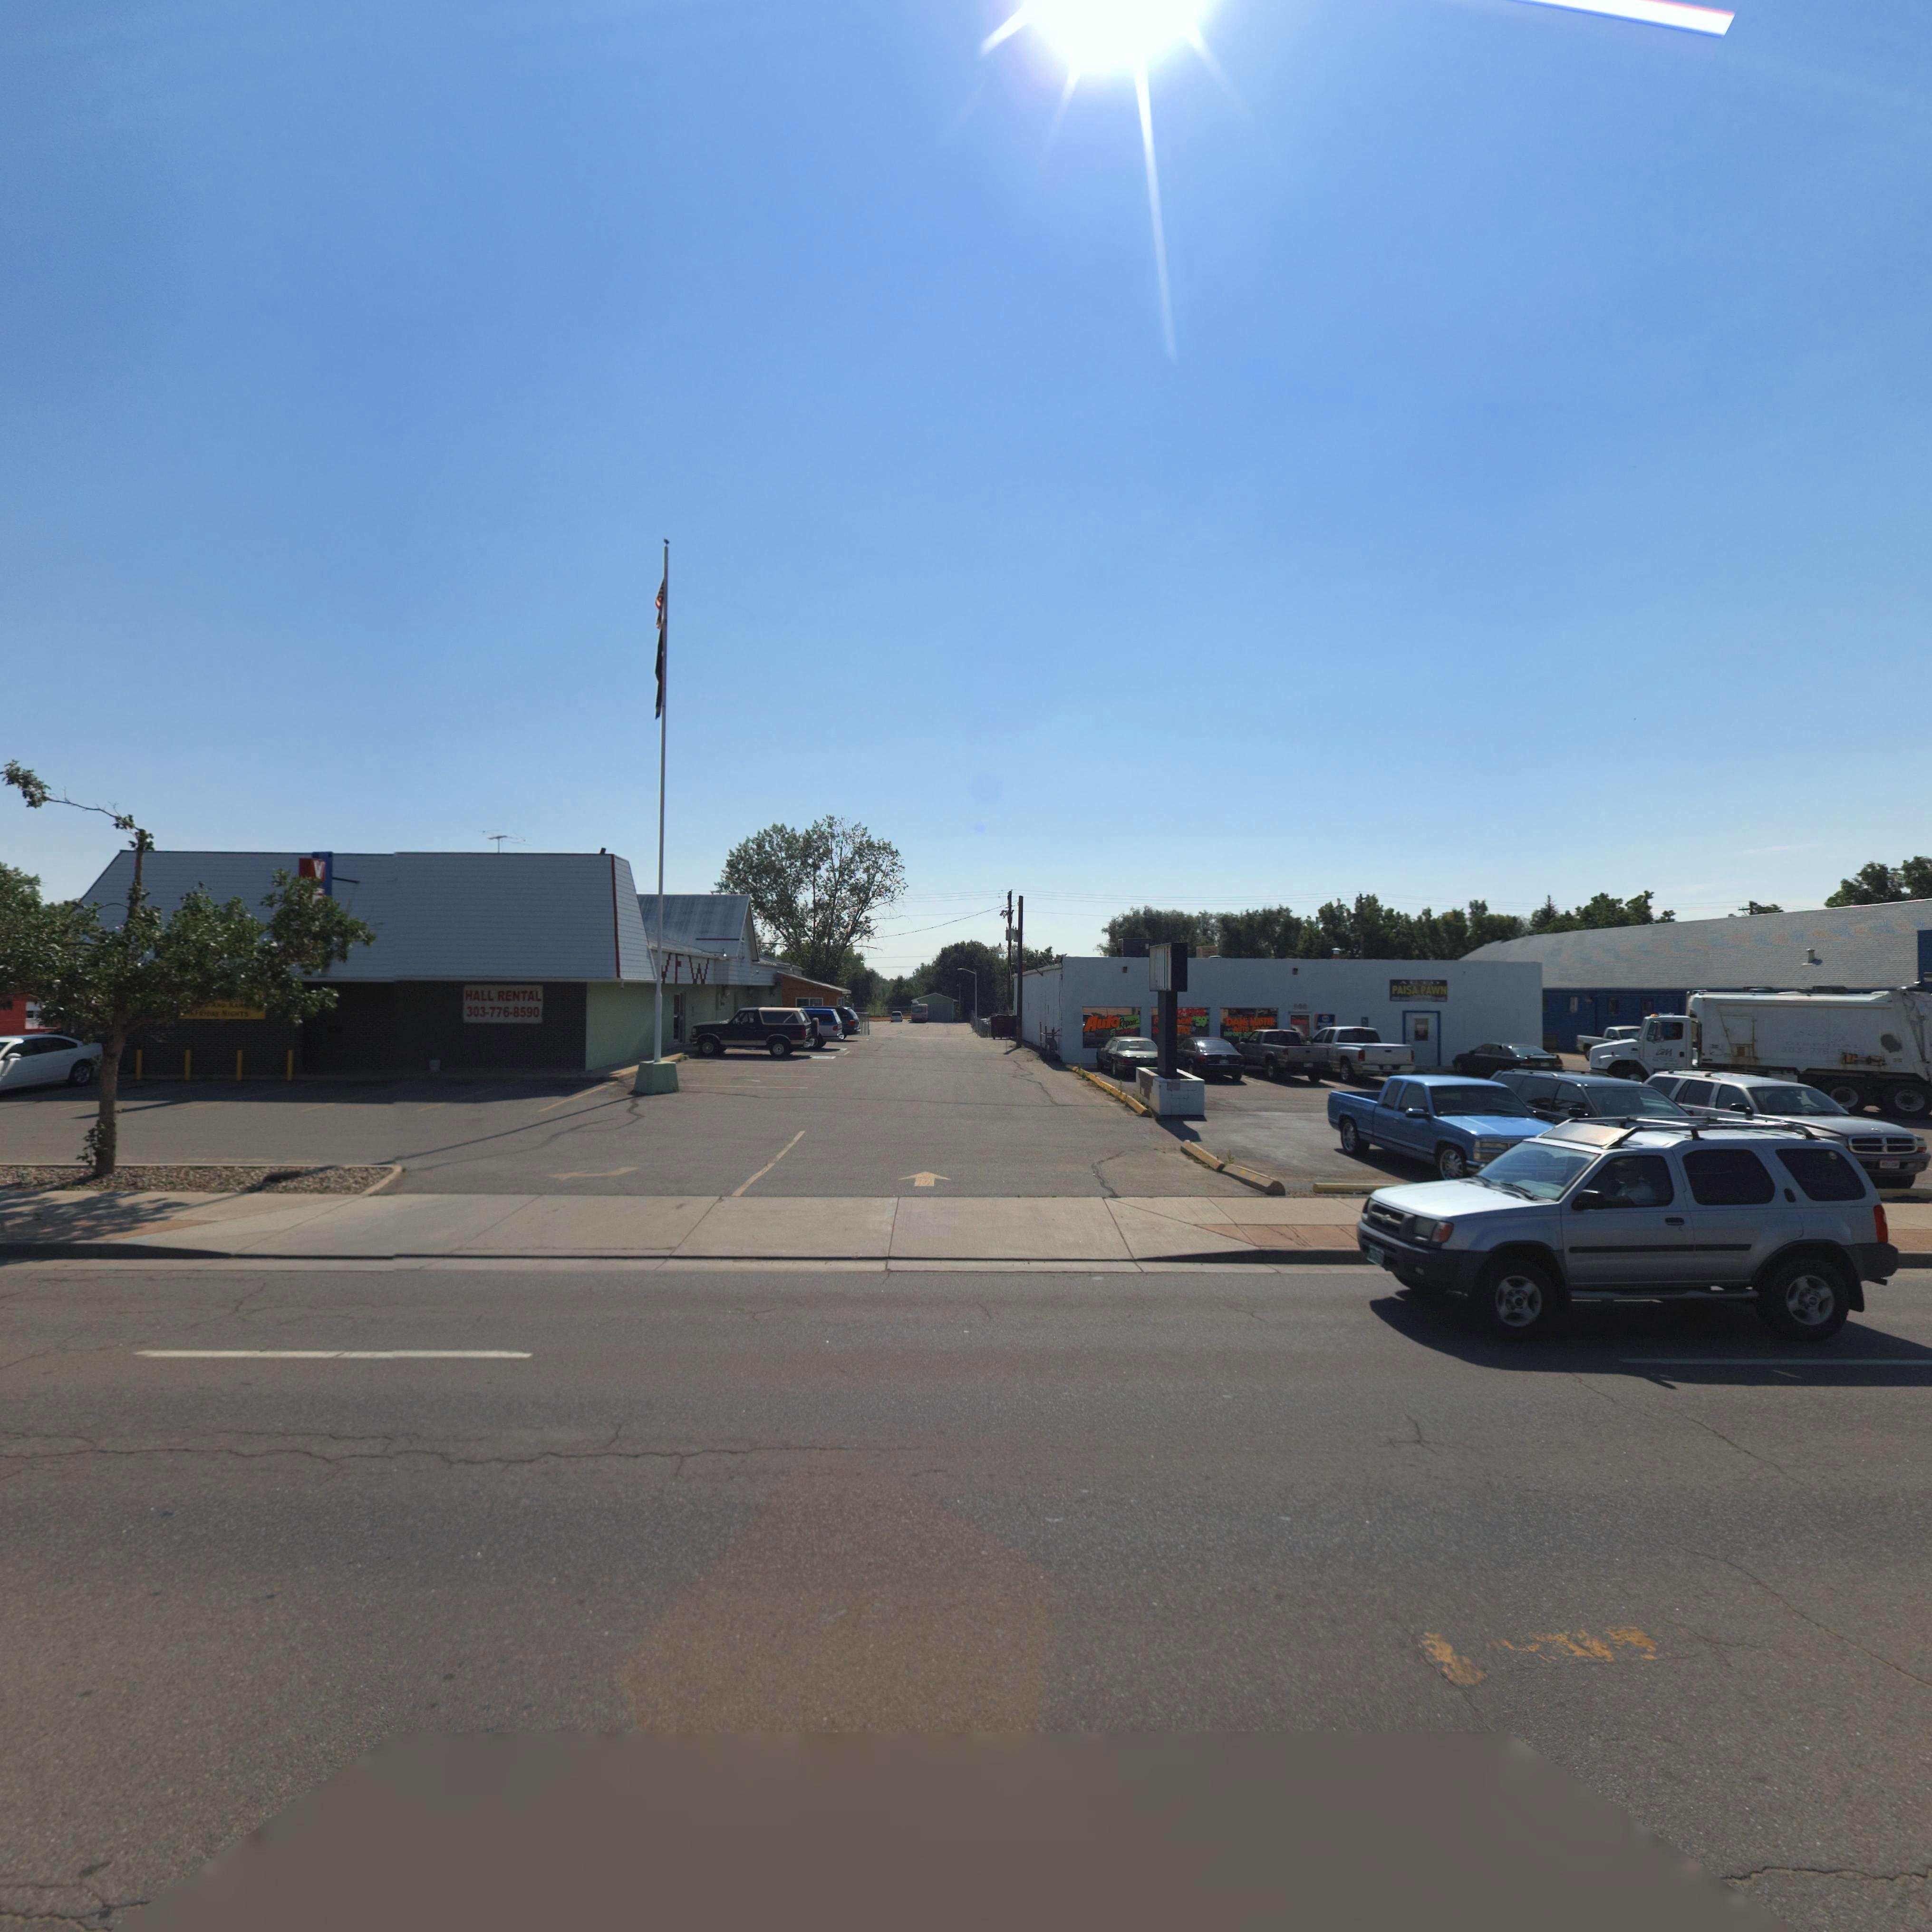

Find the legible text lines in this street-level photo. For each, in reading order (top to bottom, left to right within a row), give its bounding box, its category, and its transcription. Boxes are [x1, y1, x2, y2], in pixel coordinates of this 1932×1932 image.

[1391, 985, 1447, 995] BusinessName: PAISA PAWN